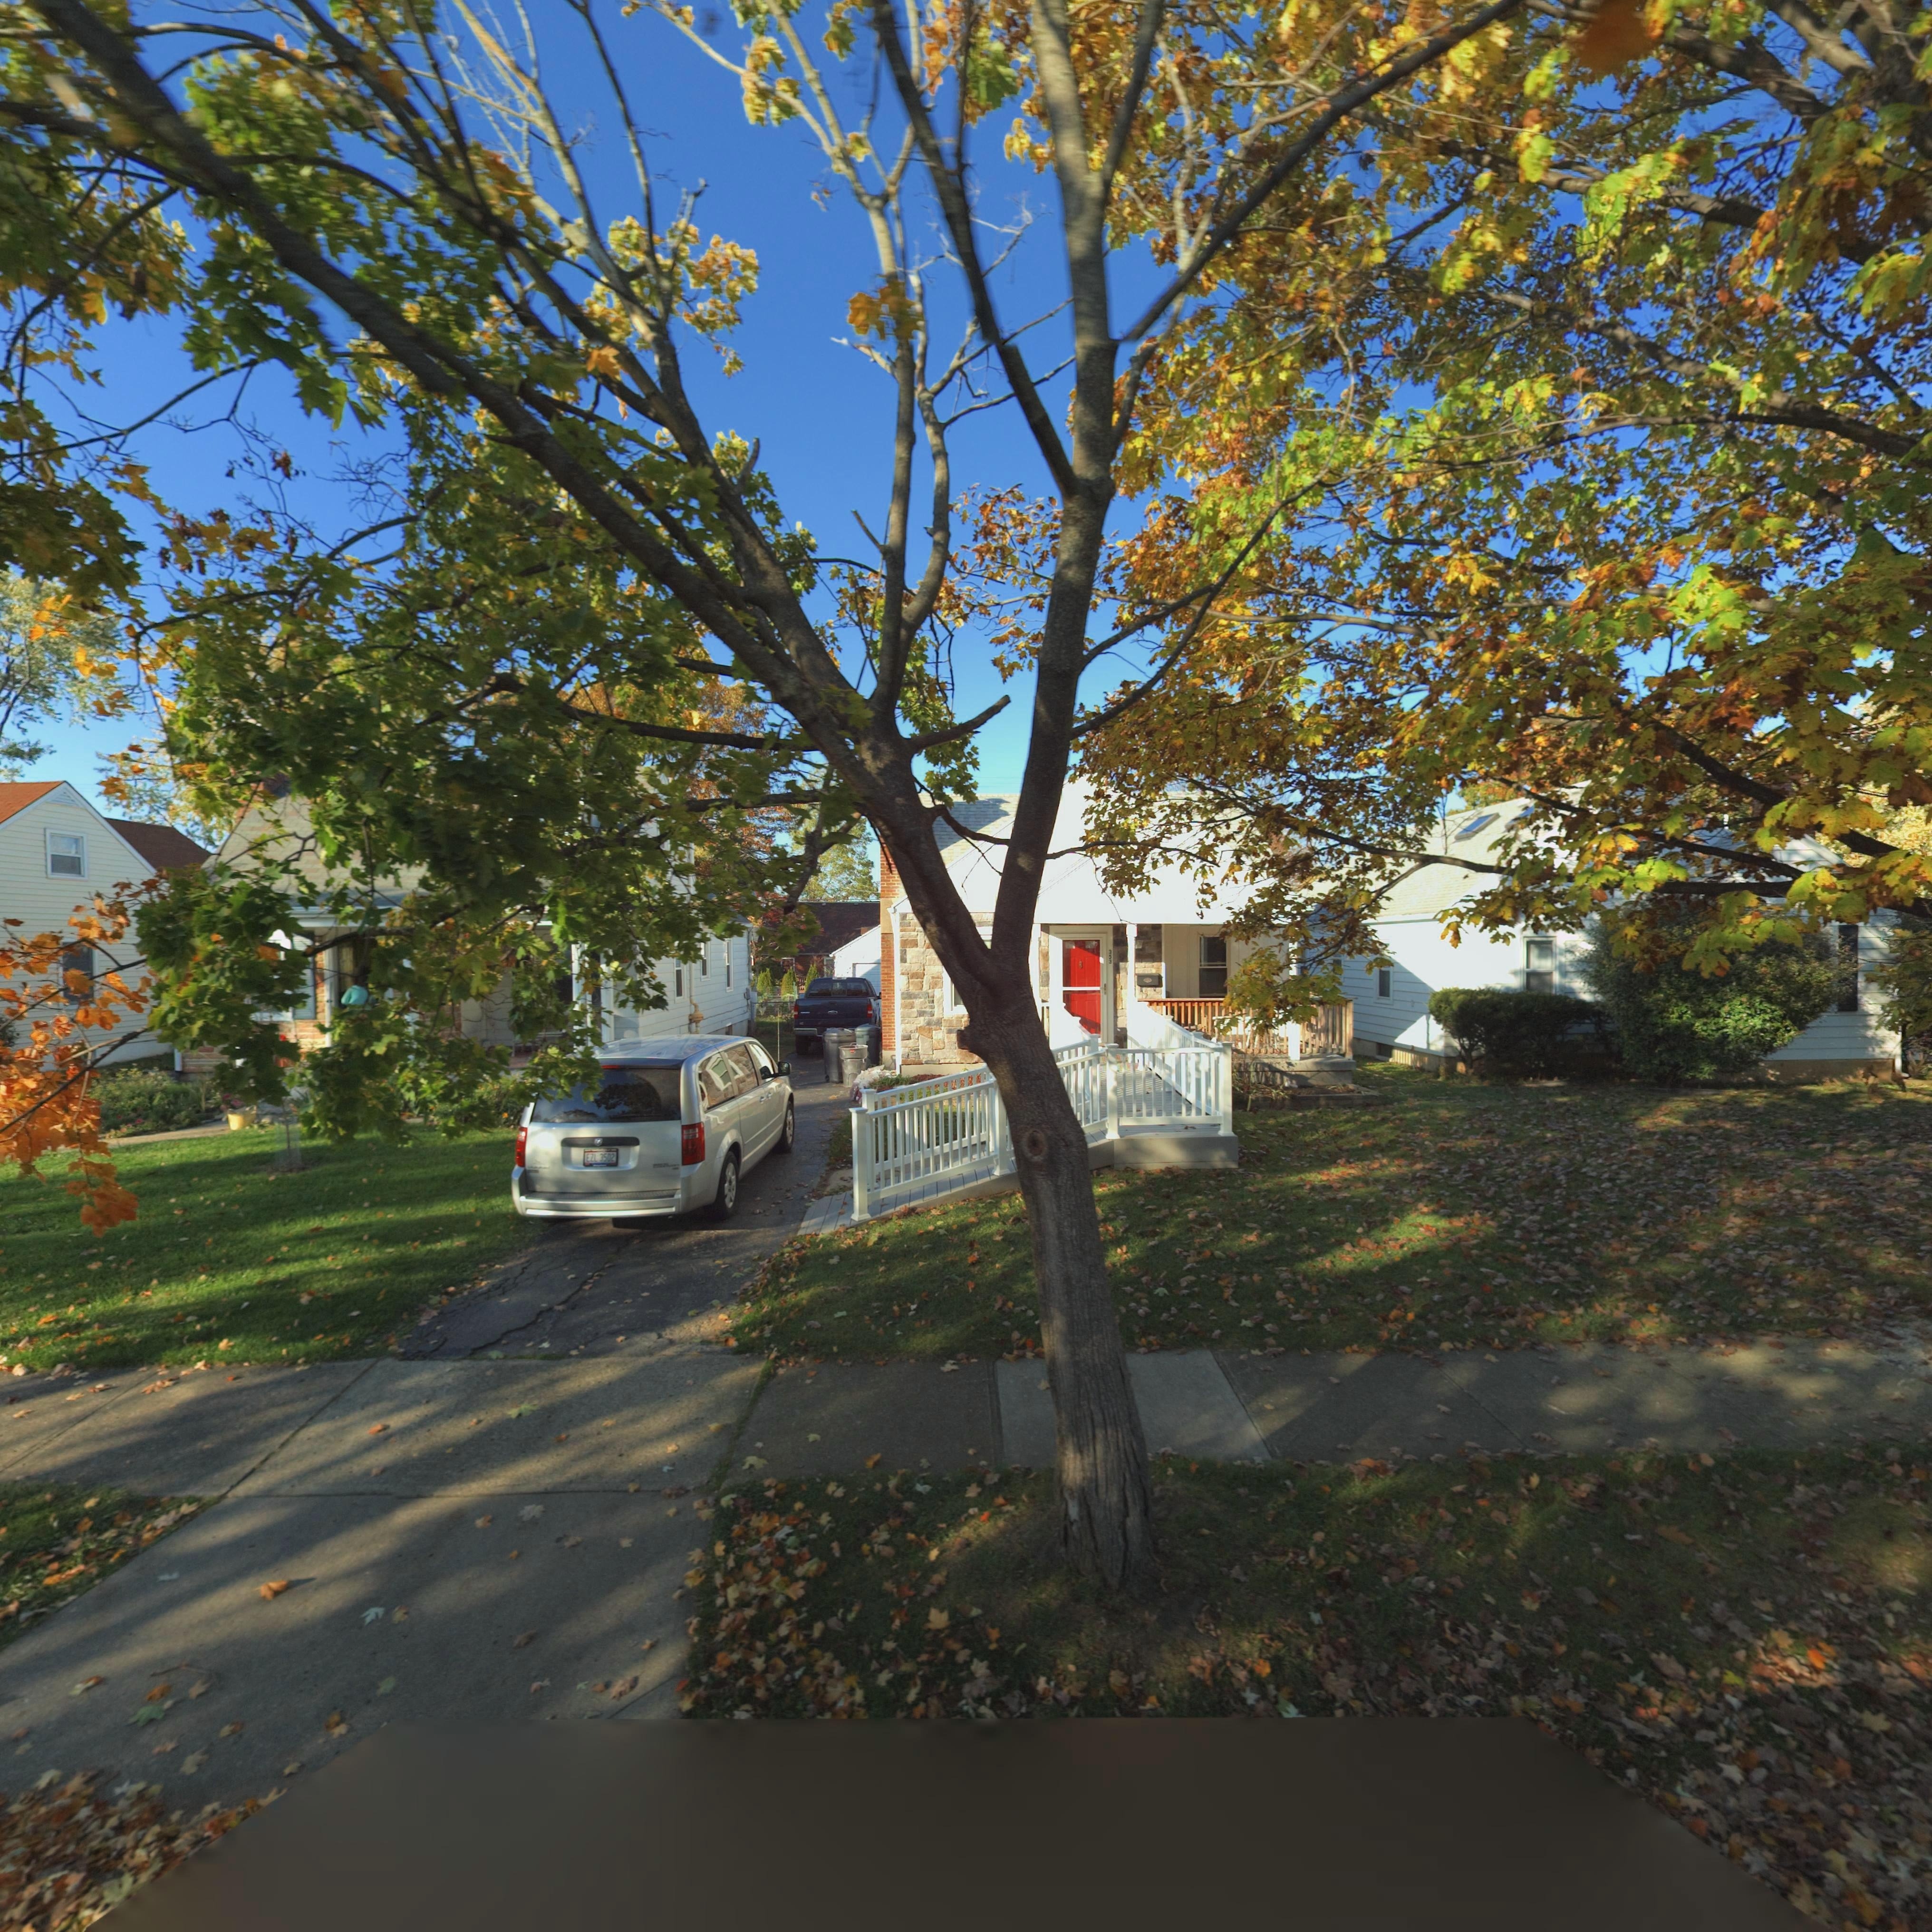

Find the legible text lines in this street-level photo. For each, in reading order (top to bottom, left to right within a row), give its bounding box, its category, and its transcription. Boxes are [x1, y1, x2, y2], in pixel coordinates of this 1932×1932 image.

[1108, 949, 1112, 965] StreetNumber: 353